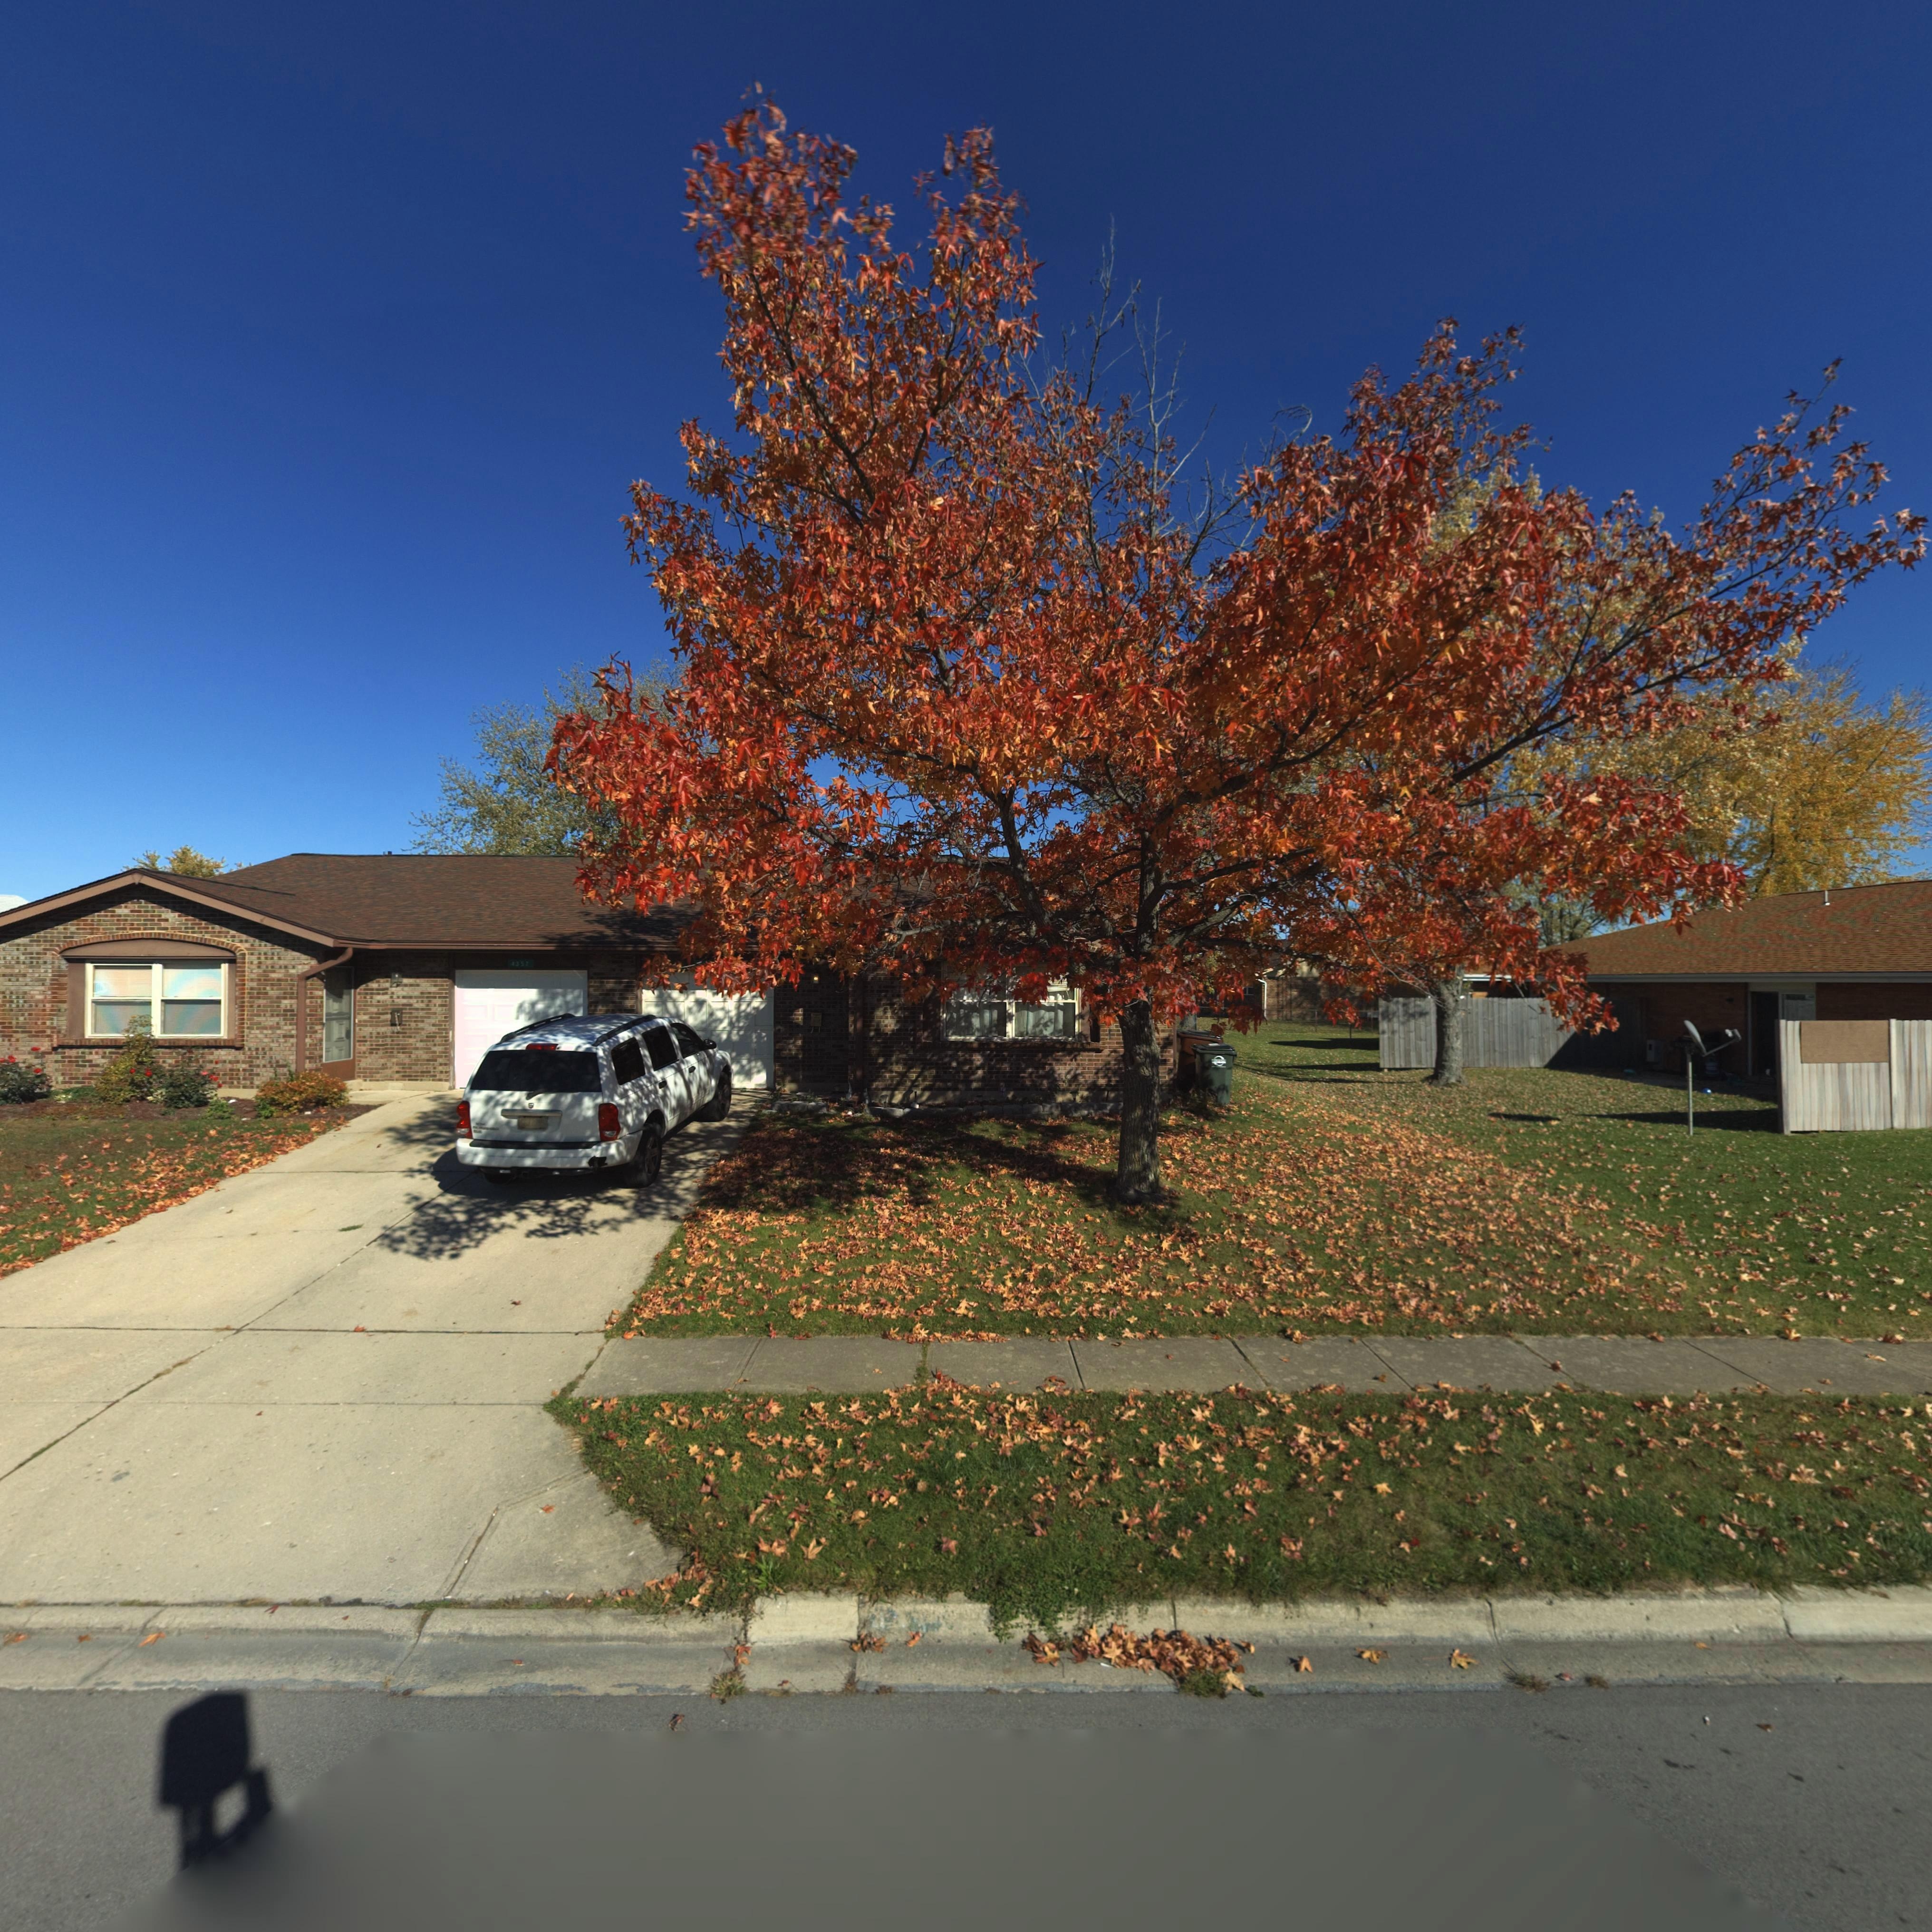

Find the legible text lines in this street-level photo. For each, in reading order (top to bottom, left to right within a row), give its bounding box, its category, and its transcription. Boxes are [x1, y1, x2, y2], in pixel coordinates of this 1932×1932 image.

[511, 961, 529, 967] StreetNumber: 4357